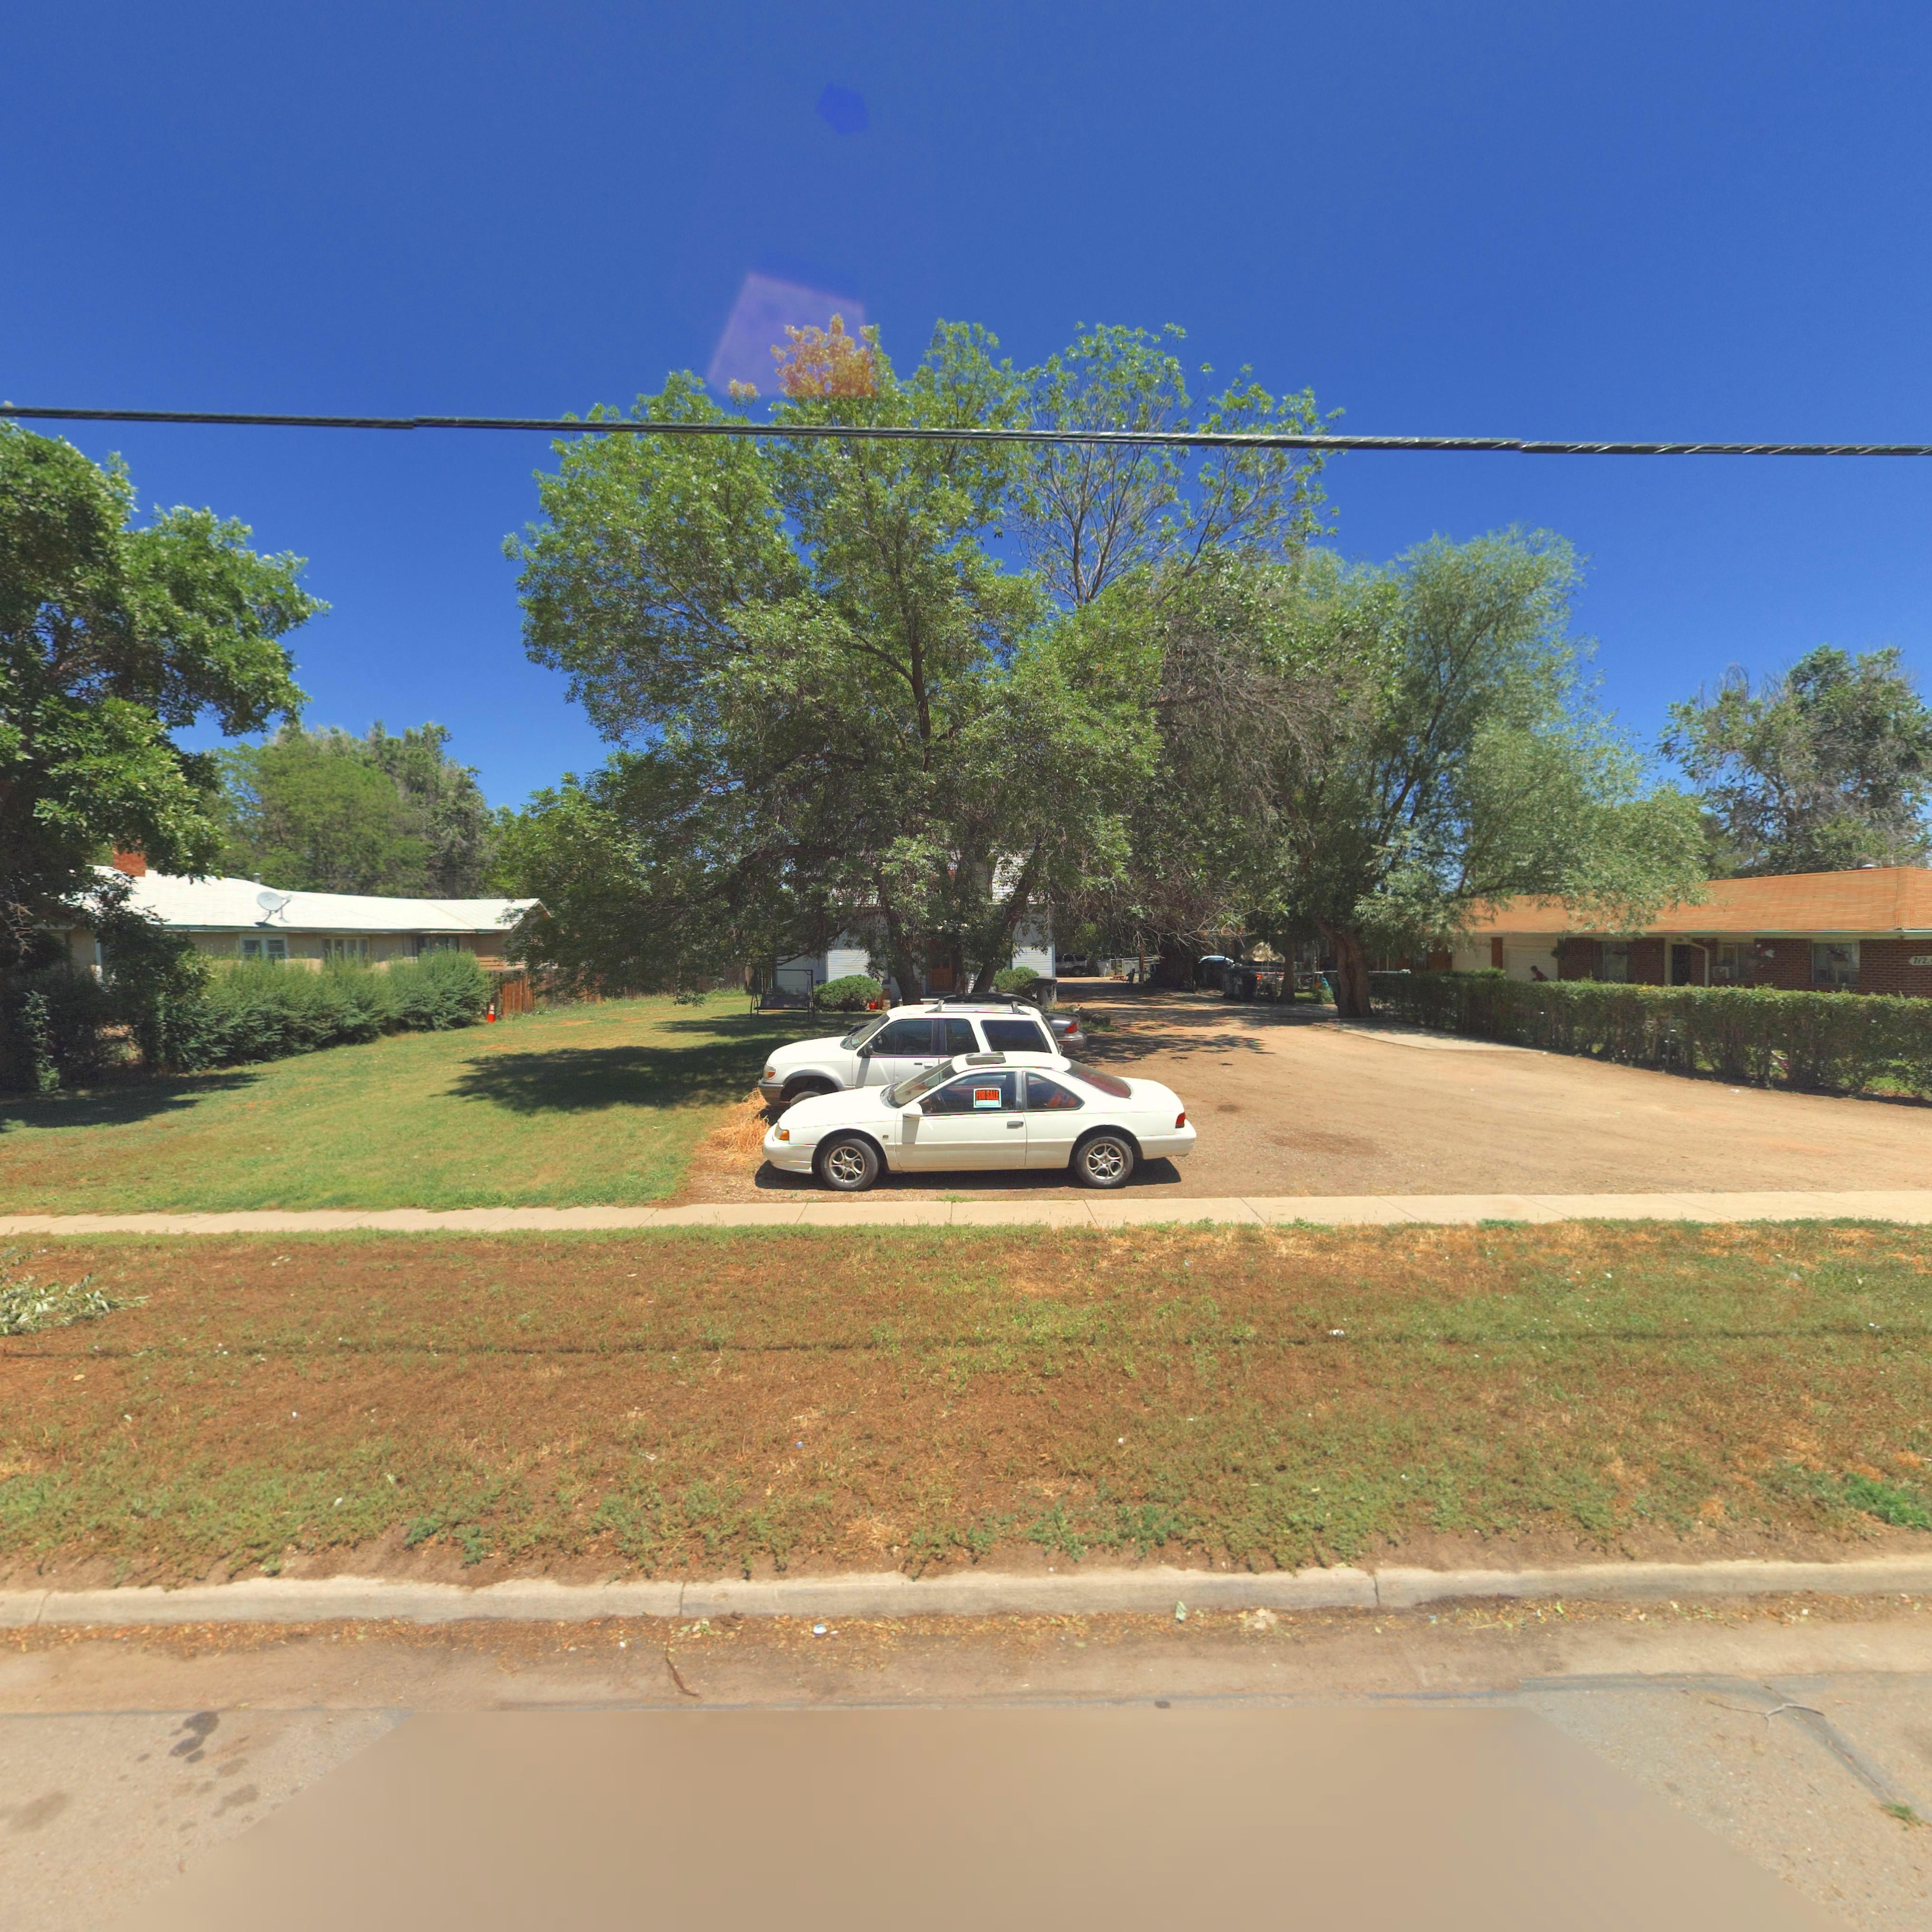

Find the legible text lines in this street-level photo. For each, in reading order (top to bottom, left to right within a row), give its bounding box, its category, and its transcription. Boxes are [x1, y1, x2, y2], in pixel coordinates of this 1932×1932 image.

[1913, 957, 1927, 964] StreetNumber: 712